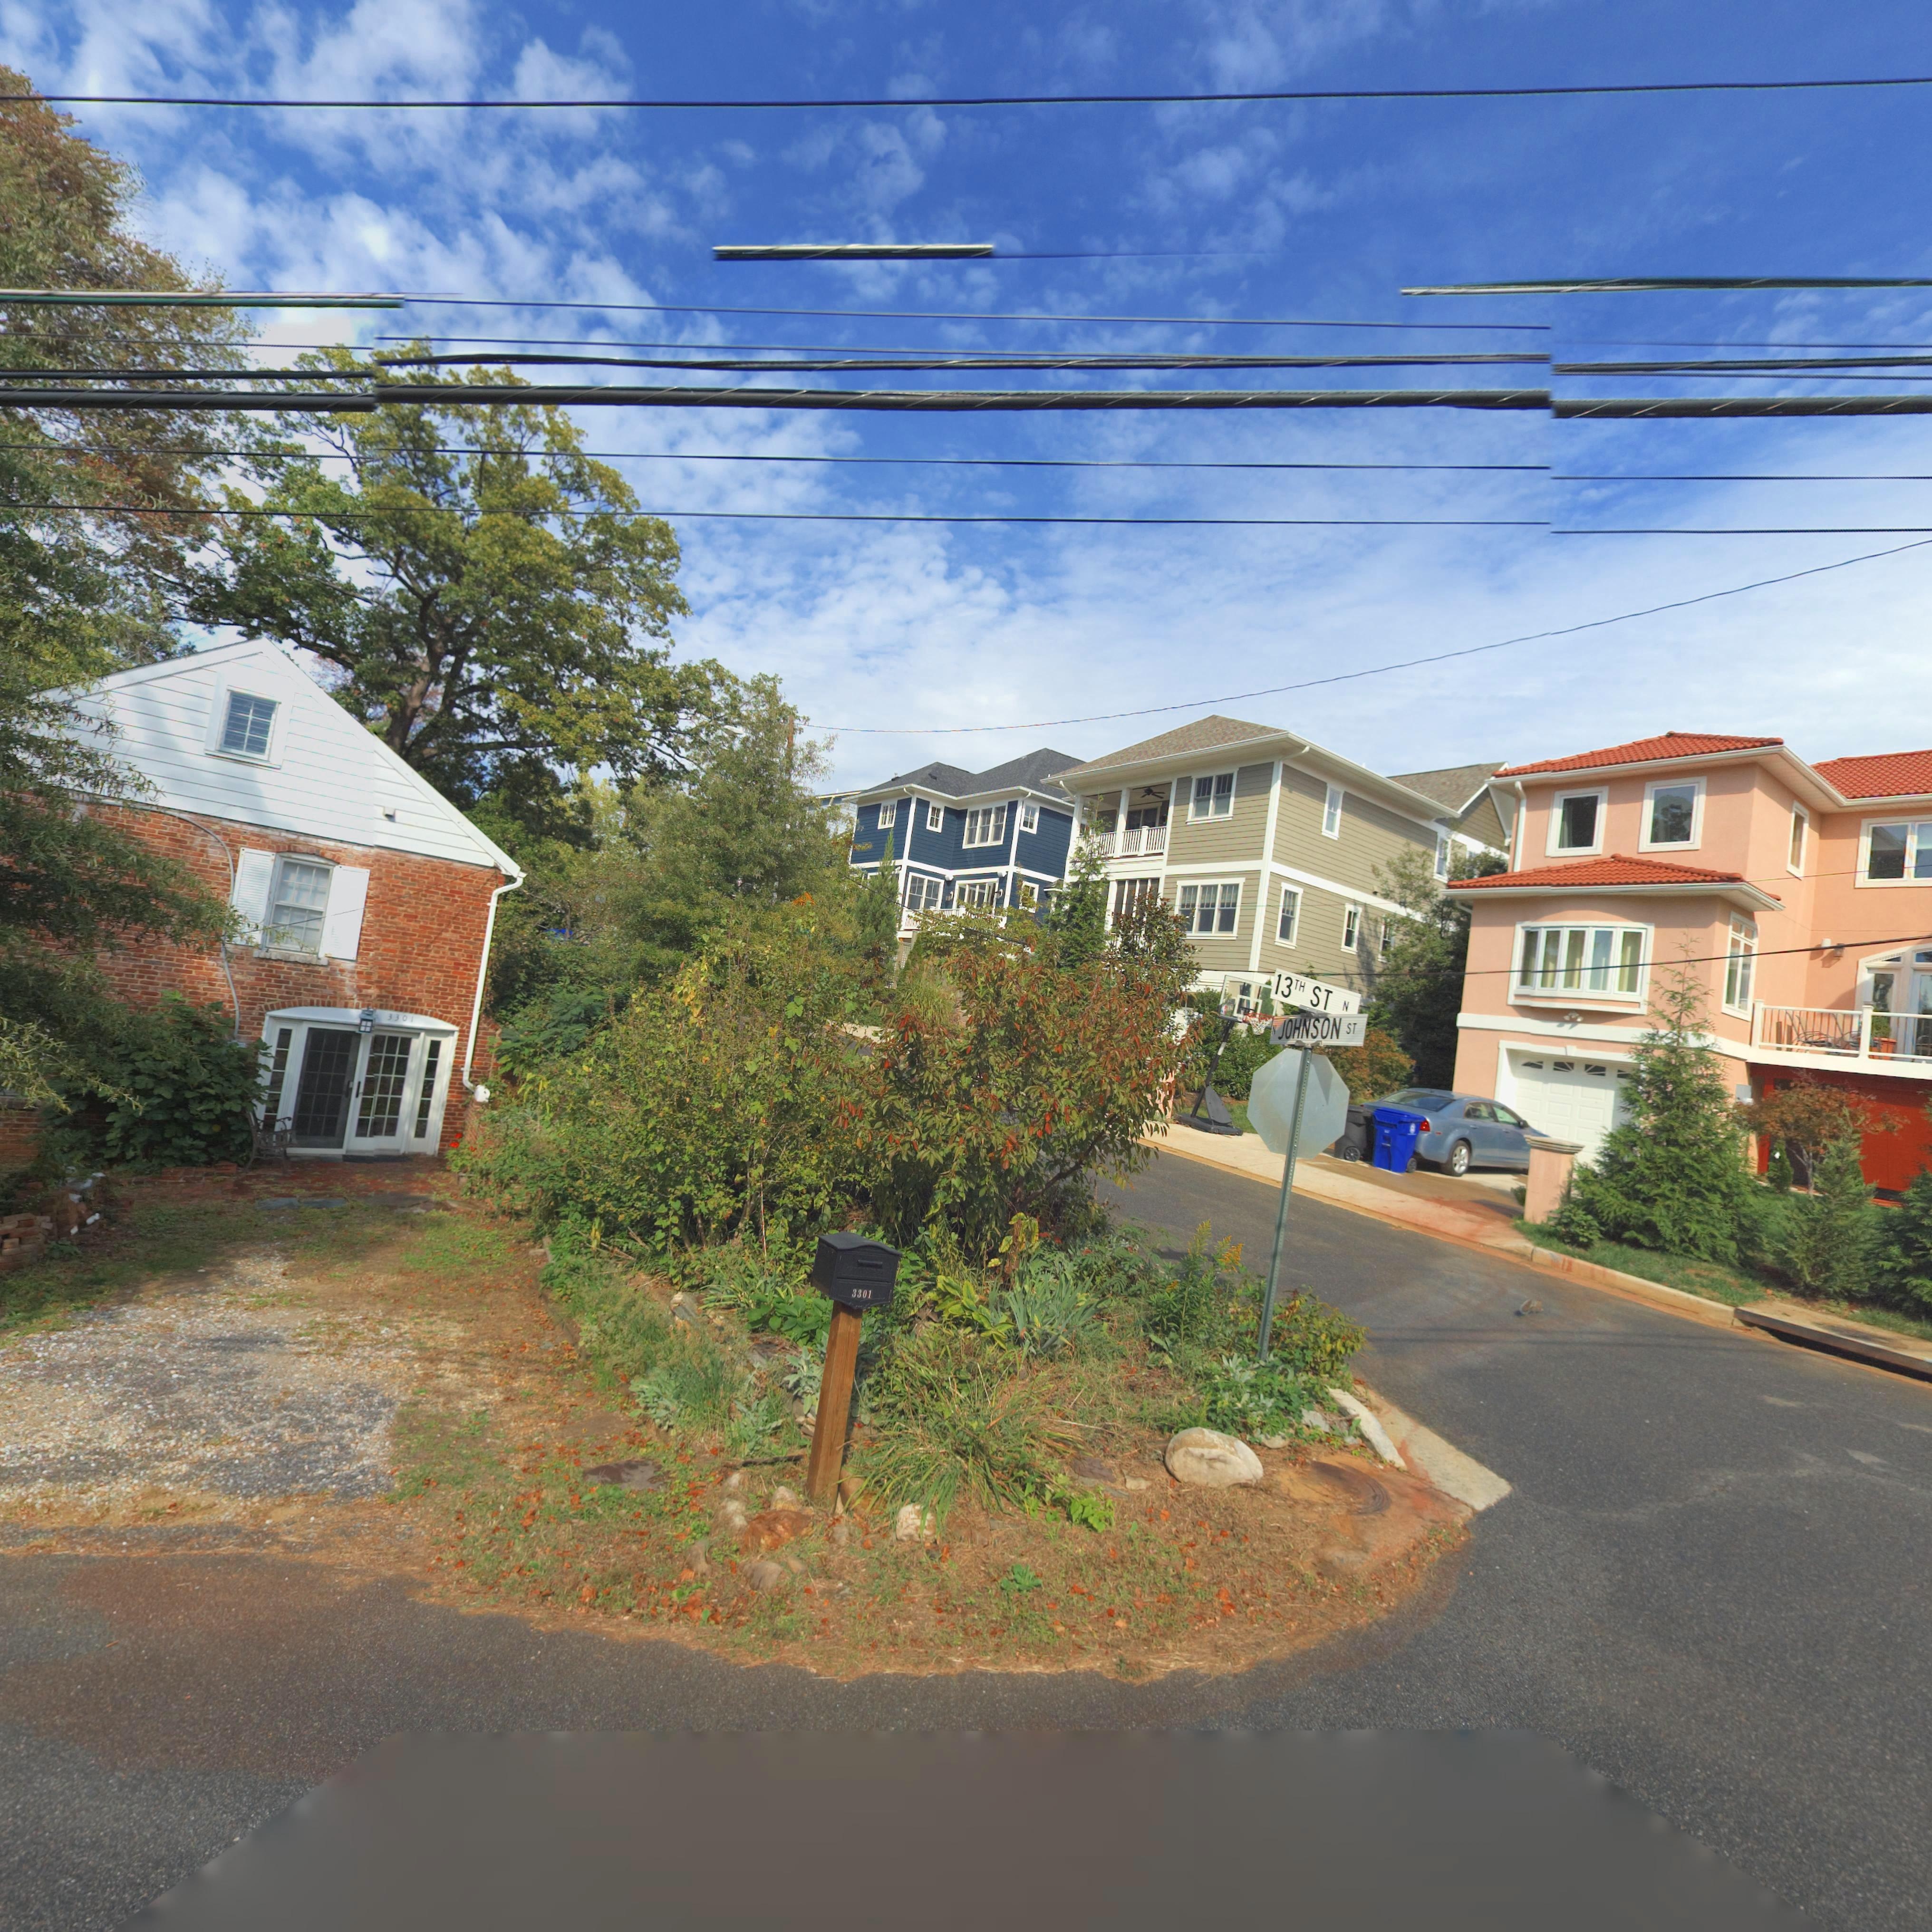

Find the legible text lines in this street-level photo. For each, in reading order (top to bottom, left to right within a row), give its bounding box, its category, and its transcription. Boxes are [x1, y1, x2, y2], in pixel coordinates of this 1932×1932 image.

[1274, 972, 1352, 1013] StreetName: 13TH ST N
[386, 1011, 415, 1024] StreetNumber: 3301
[1271, 1015, 1358, 1042] StreetName: N JOHNSON ST
[850, 1287, 873, 1300] StreetNumber: 3301